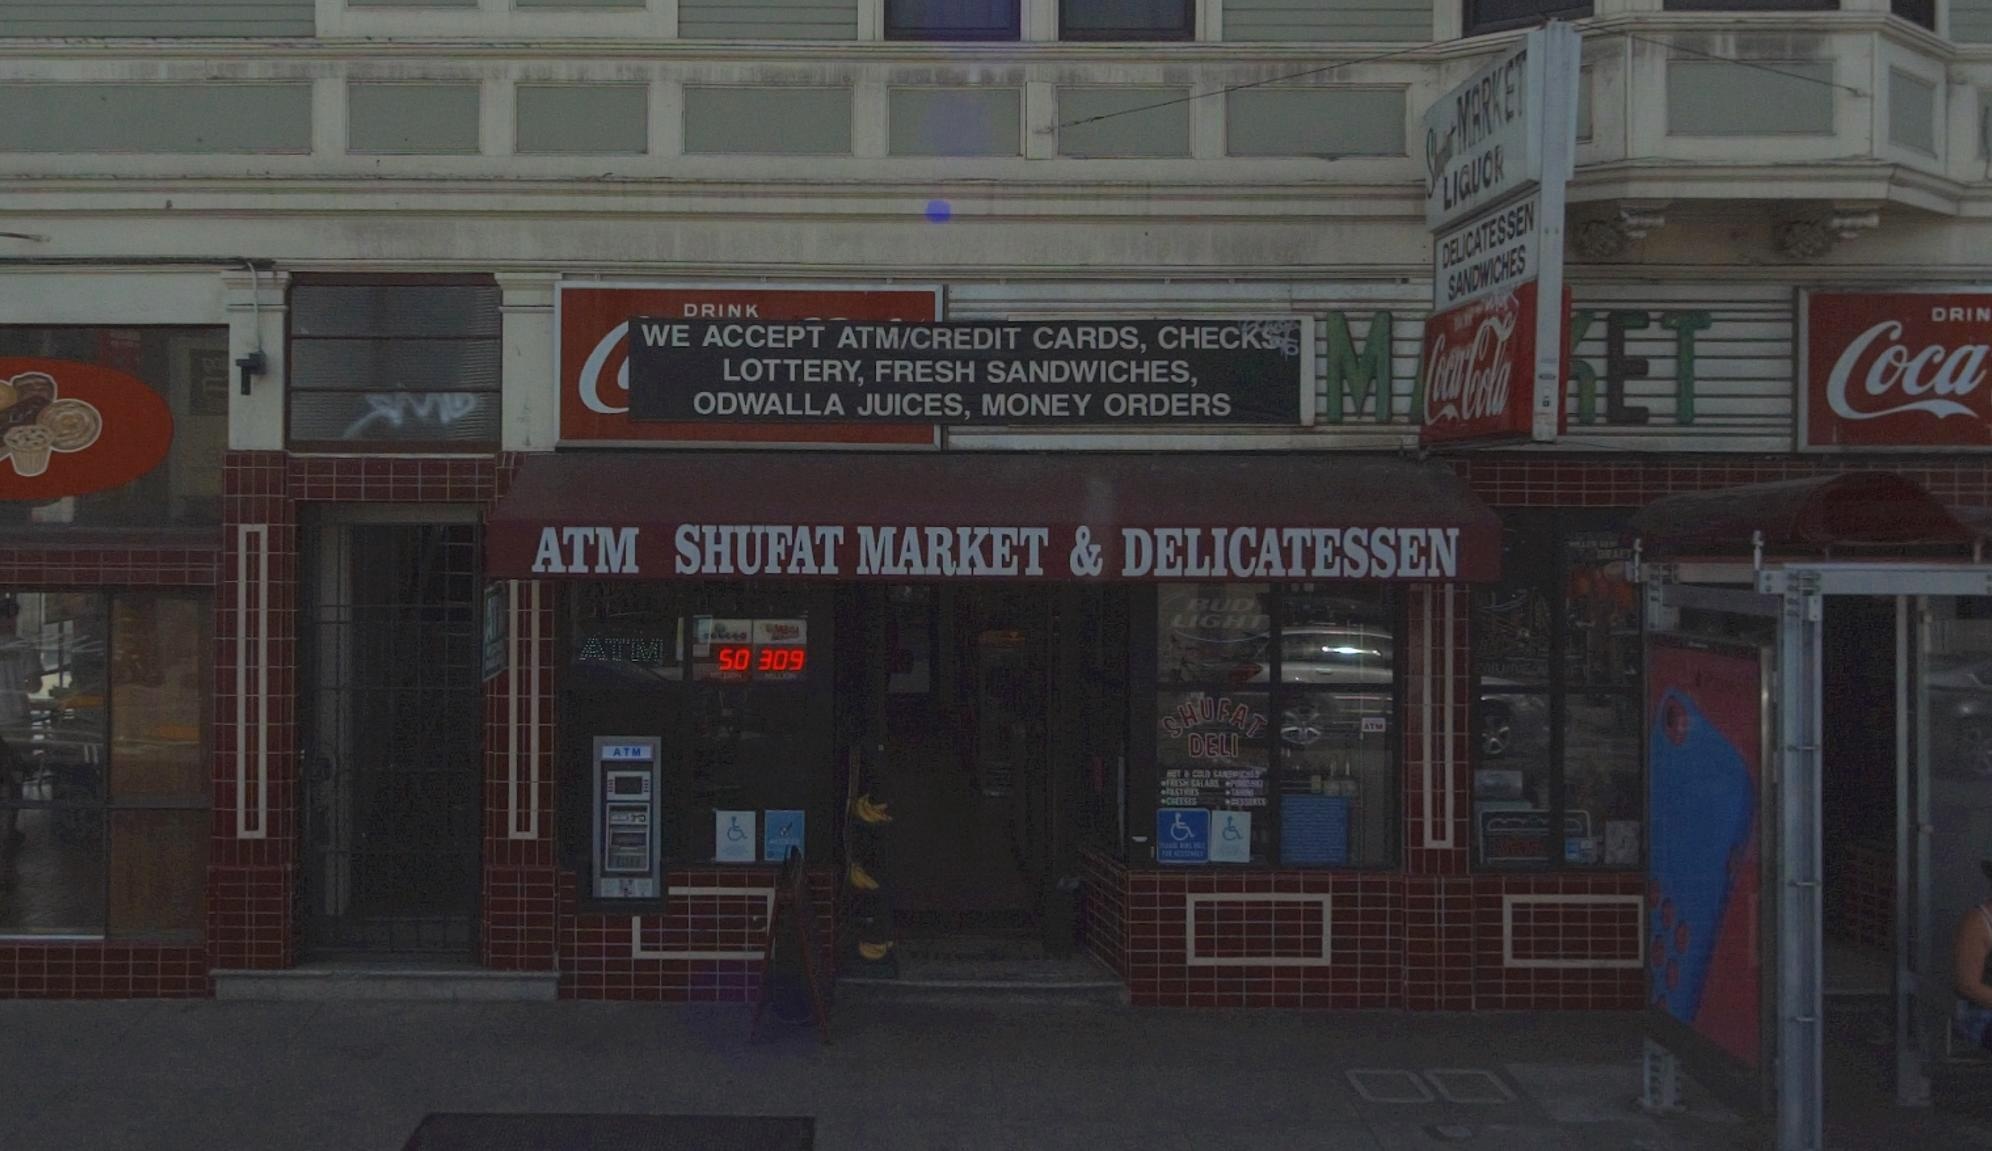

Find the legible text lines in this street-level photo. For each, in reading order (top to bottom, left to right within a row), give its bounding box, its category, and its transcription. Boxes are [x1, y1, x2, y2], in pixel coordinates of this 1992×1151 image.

[1455, 48, 1528, 157] None: MARKET
[1443, 139, 1506, 213] None: LIQUOR
[1442, 198, 1535, 270] None: DELICATESSEN
[1446, 242, 1527, 303] None: SANDWICHES
[683, 303, 761, 318] None: DRINK
[1930, 306, 1988, 322] None: DRIN\
[639, 323, 1281, 353] None: WE ACCEPT ATM/CREDIT CARDS, CHECK*
[723, 357, 1199, 388] None: LOTTERY, FRESH SANDWICHES,
[1325, 309, 1393, 426] None: M
[1421, 308, 1519, 428] None: CocaCola
[1604, 308, 1716, 427] None: ET
[1824, 318, 1989, 422] None: Coca
[392, 391, 451, 428] None: M
[692, 390, 1233, 420] None: ODWALLA JUICES, MONEY ORDERS
[528, 525, 639, 573] None: ATM
[673, 523, 1460, 579] BusinessName: SHUFAT MARKET & DELICATESSEN
[1597, 548, 1633, 559] None: DRAFT
[1185, 596, 1258, 614] BusinessName: BUD
[1167, 613, 1270, 629] BusinessName: LIGHT
[578, 634, 665, 665] None: ATM
[718, 648, 805, 671] None: 50 309
[1159, 695, 1269, 739] BusinessName: SHUFAT
[1363, 723, 1383, 730] None: ATM
[613, 746, 641, 757] None: ATM
[1188, 731, 1239, 760] BusinessName: DELI